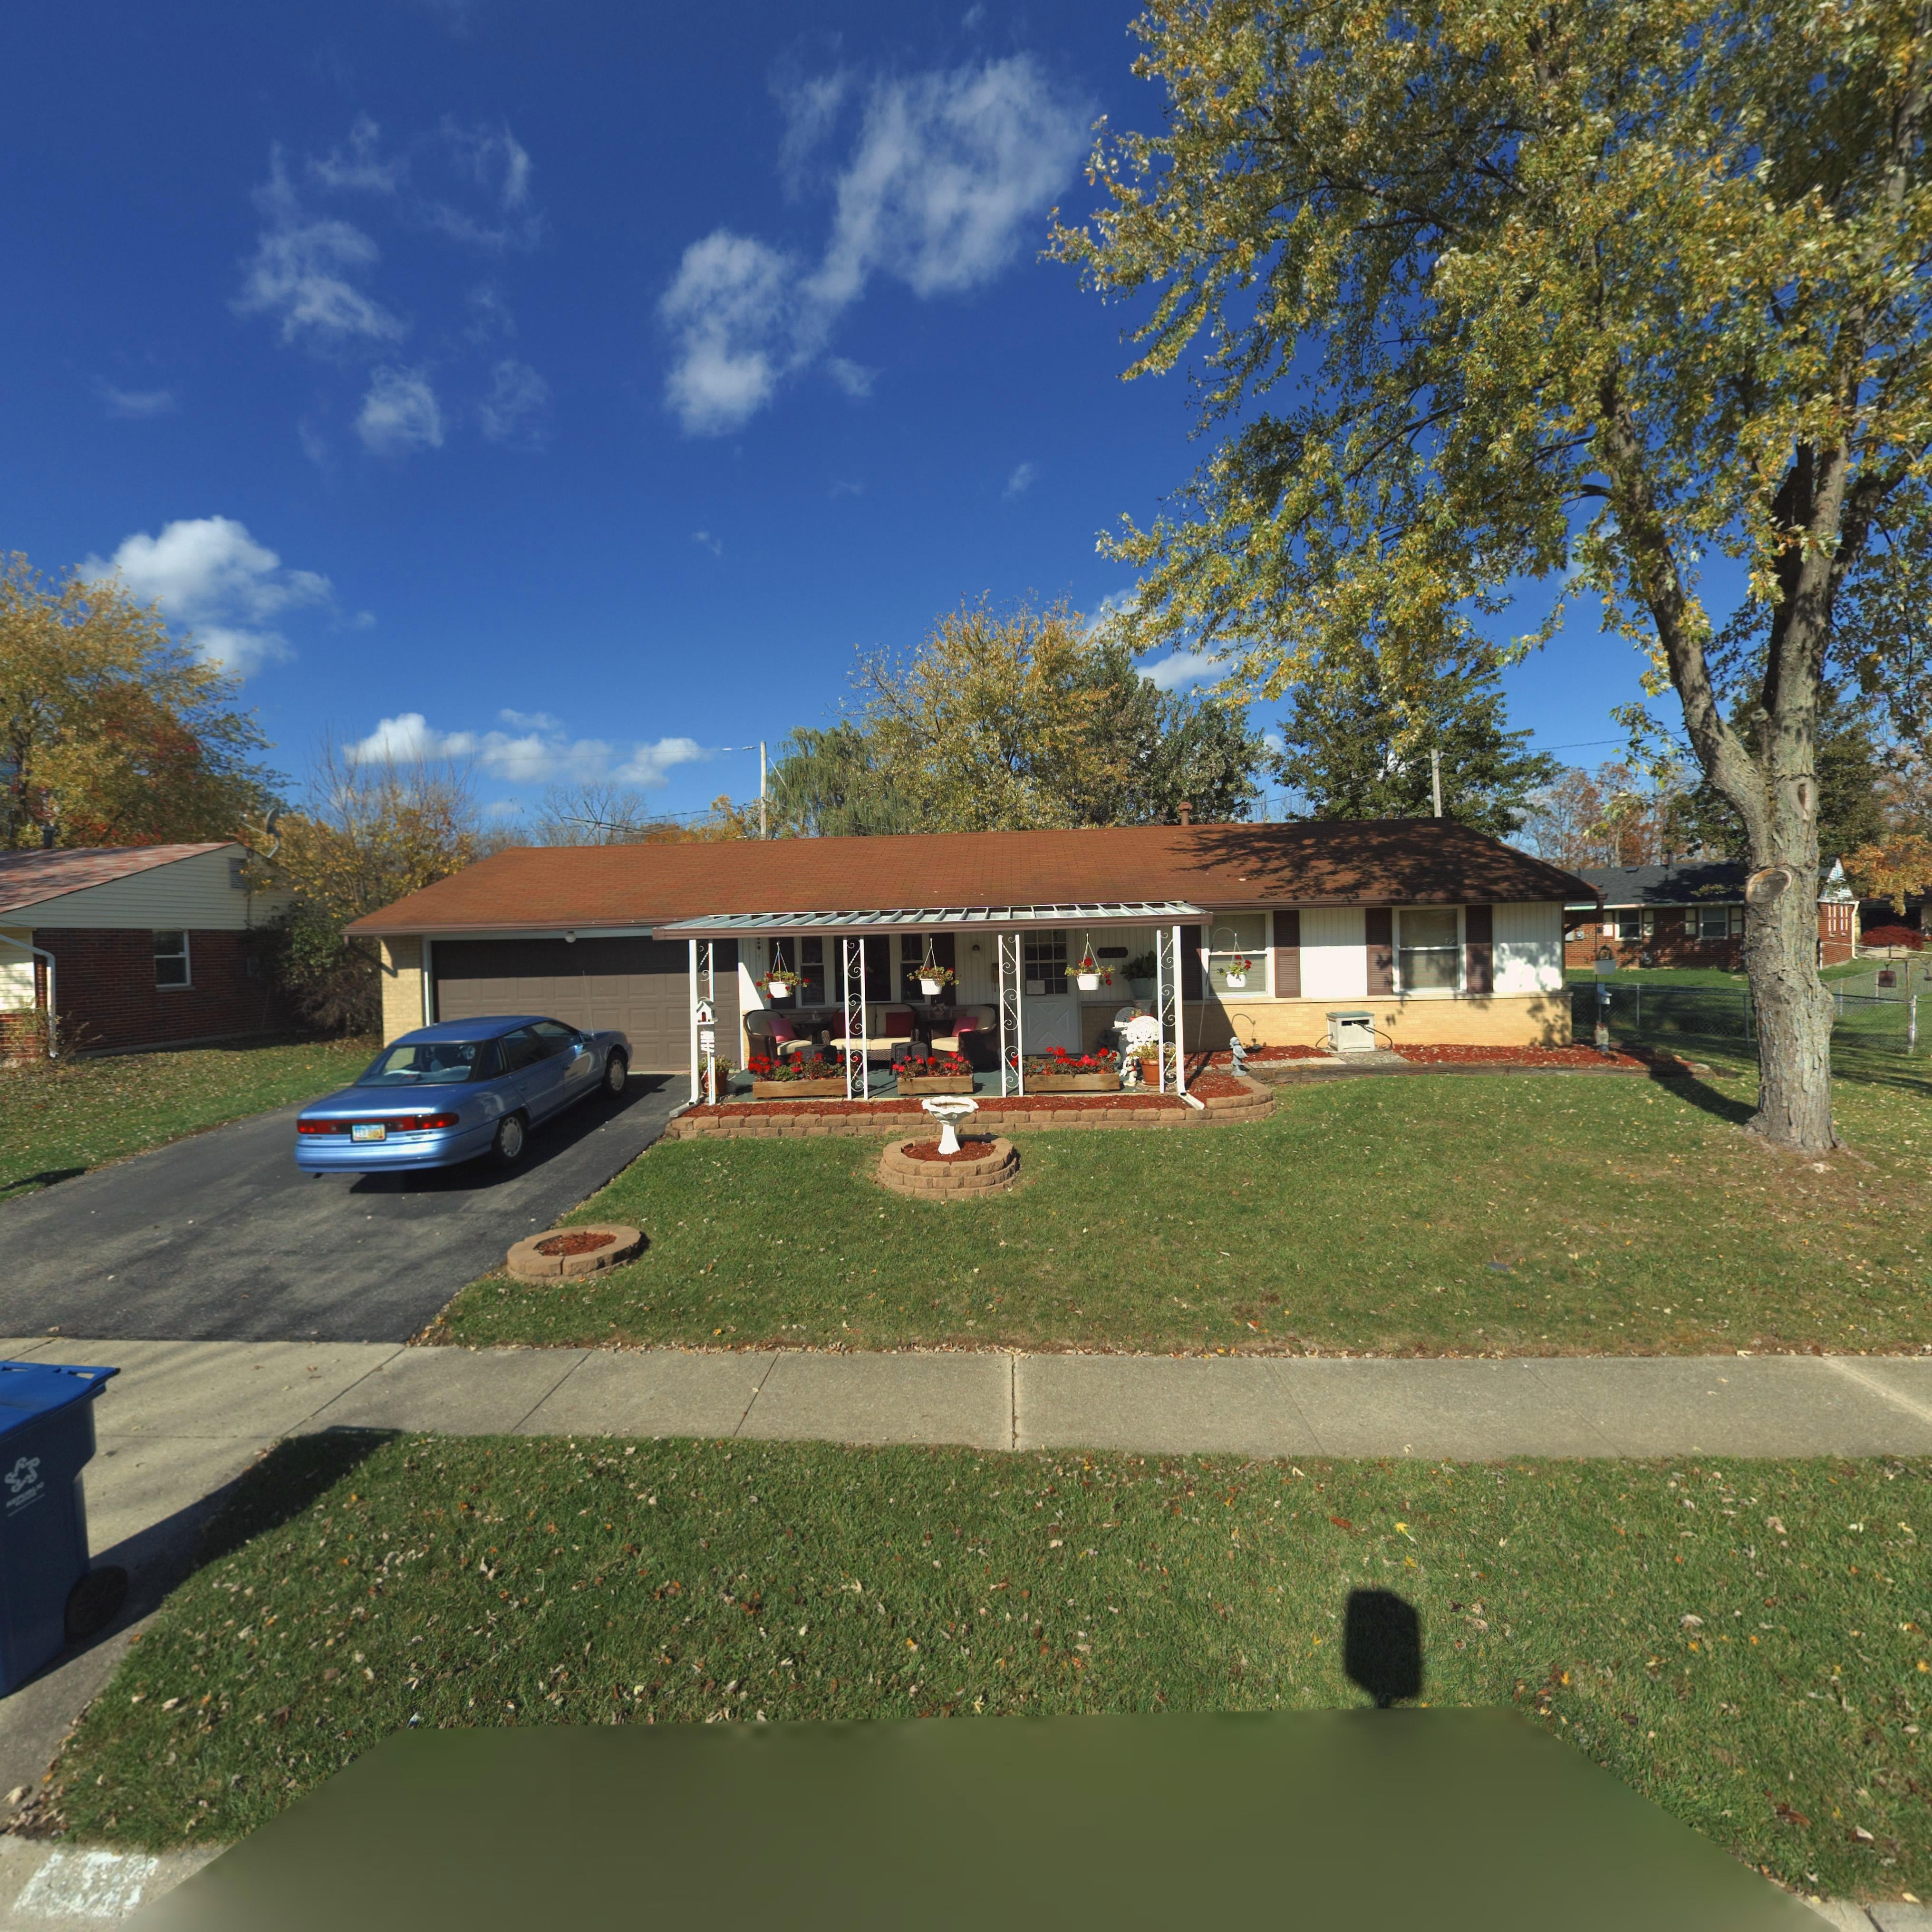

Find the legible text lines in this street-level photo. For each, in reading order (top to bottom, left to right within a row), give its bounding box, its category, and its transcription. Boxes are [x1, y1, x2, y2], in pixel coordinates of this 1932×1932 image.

[1100, 948, 1125, 957] StreetNumber: 6663